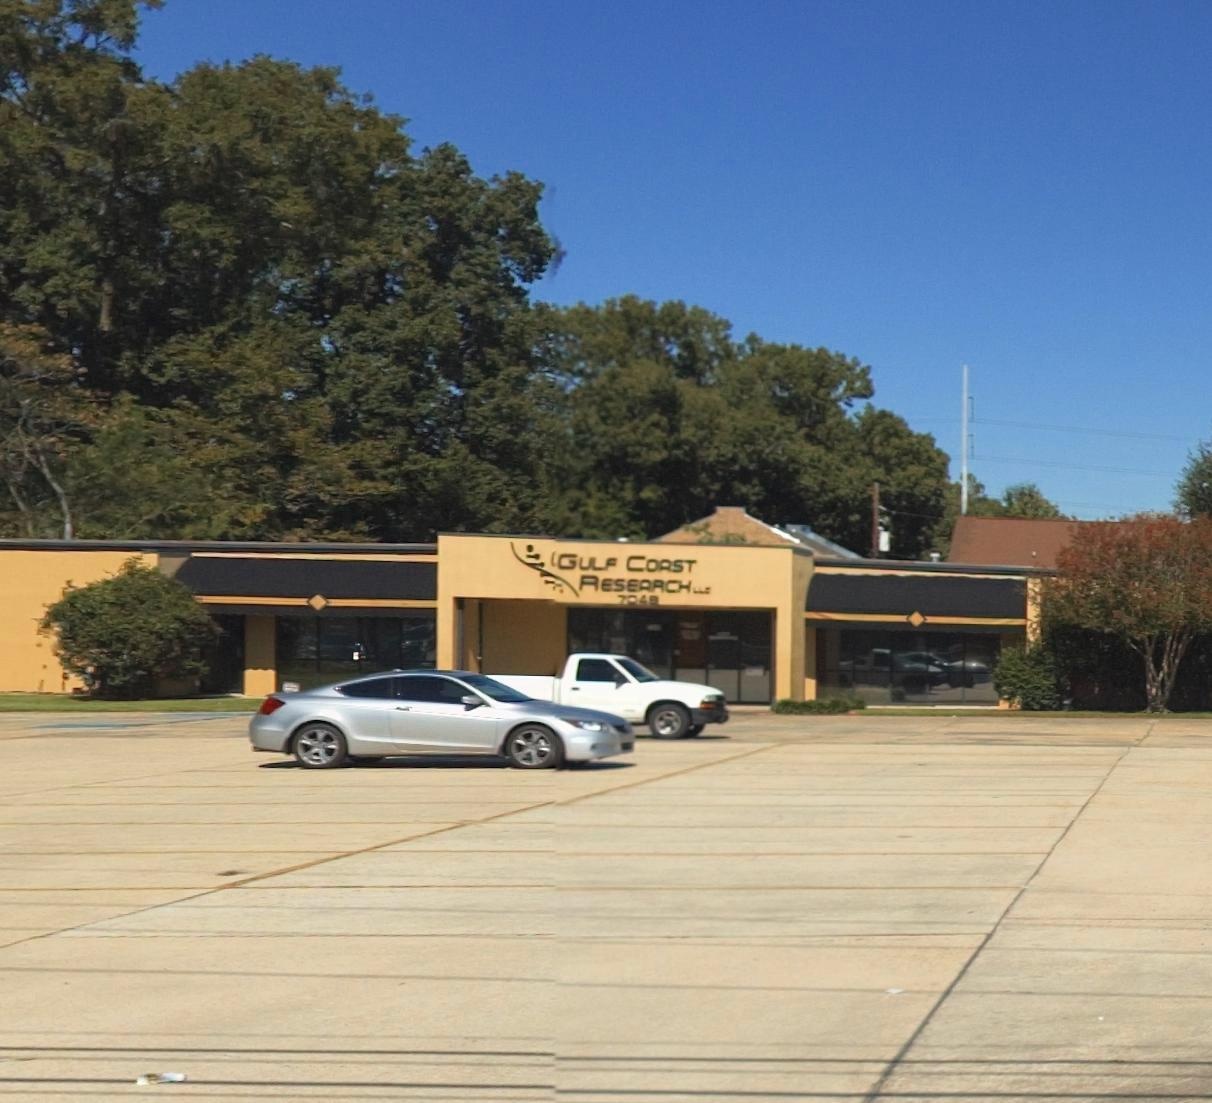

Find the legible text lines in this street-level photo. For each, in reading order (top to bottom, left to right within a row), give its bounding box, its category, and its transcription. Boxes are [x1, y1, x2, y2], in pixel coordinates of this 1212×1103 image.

[555, 552, 699, 574] BusinessName: GULF COAST
[577, 574, 713, 596] BusinessName: RESEARCH LLC
[617, 594, 661, 607] StreetNumber: 7049